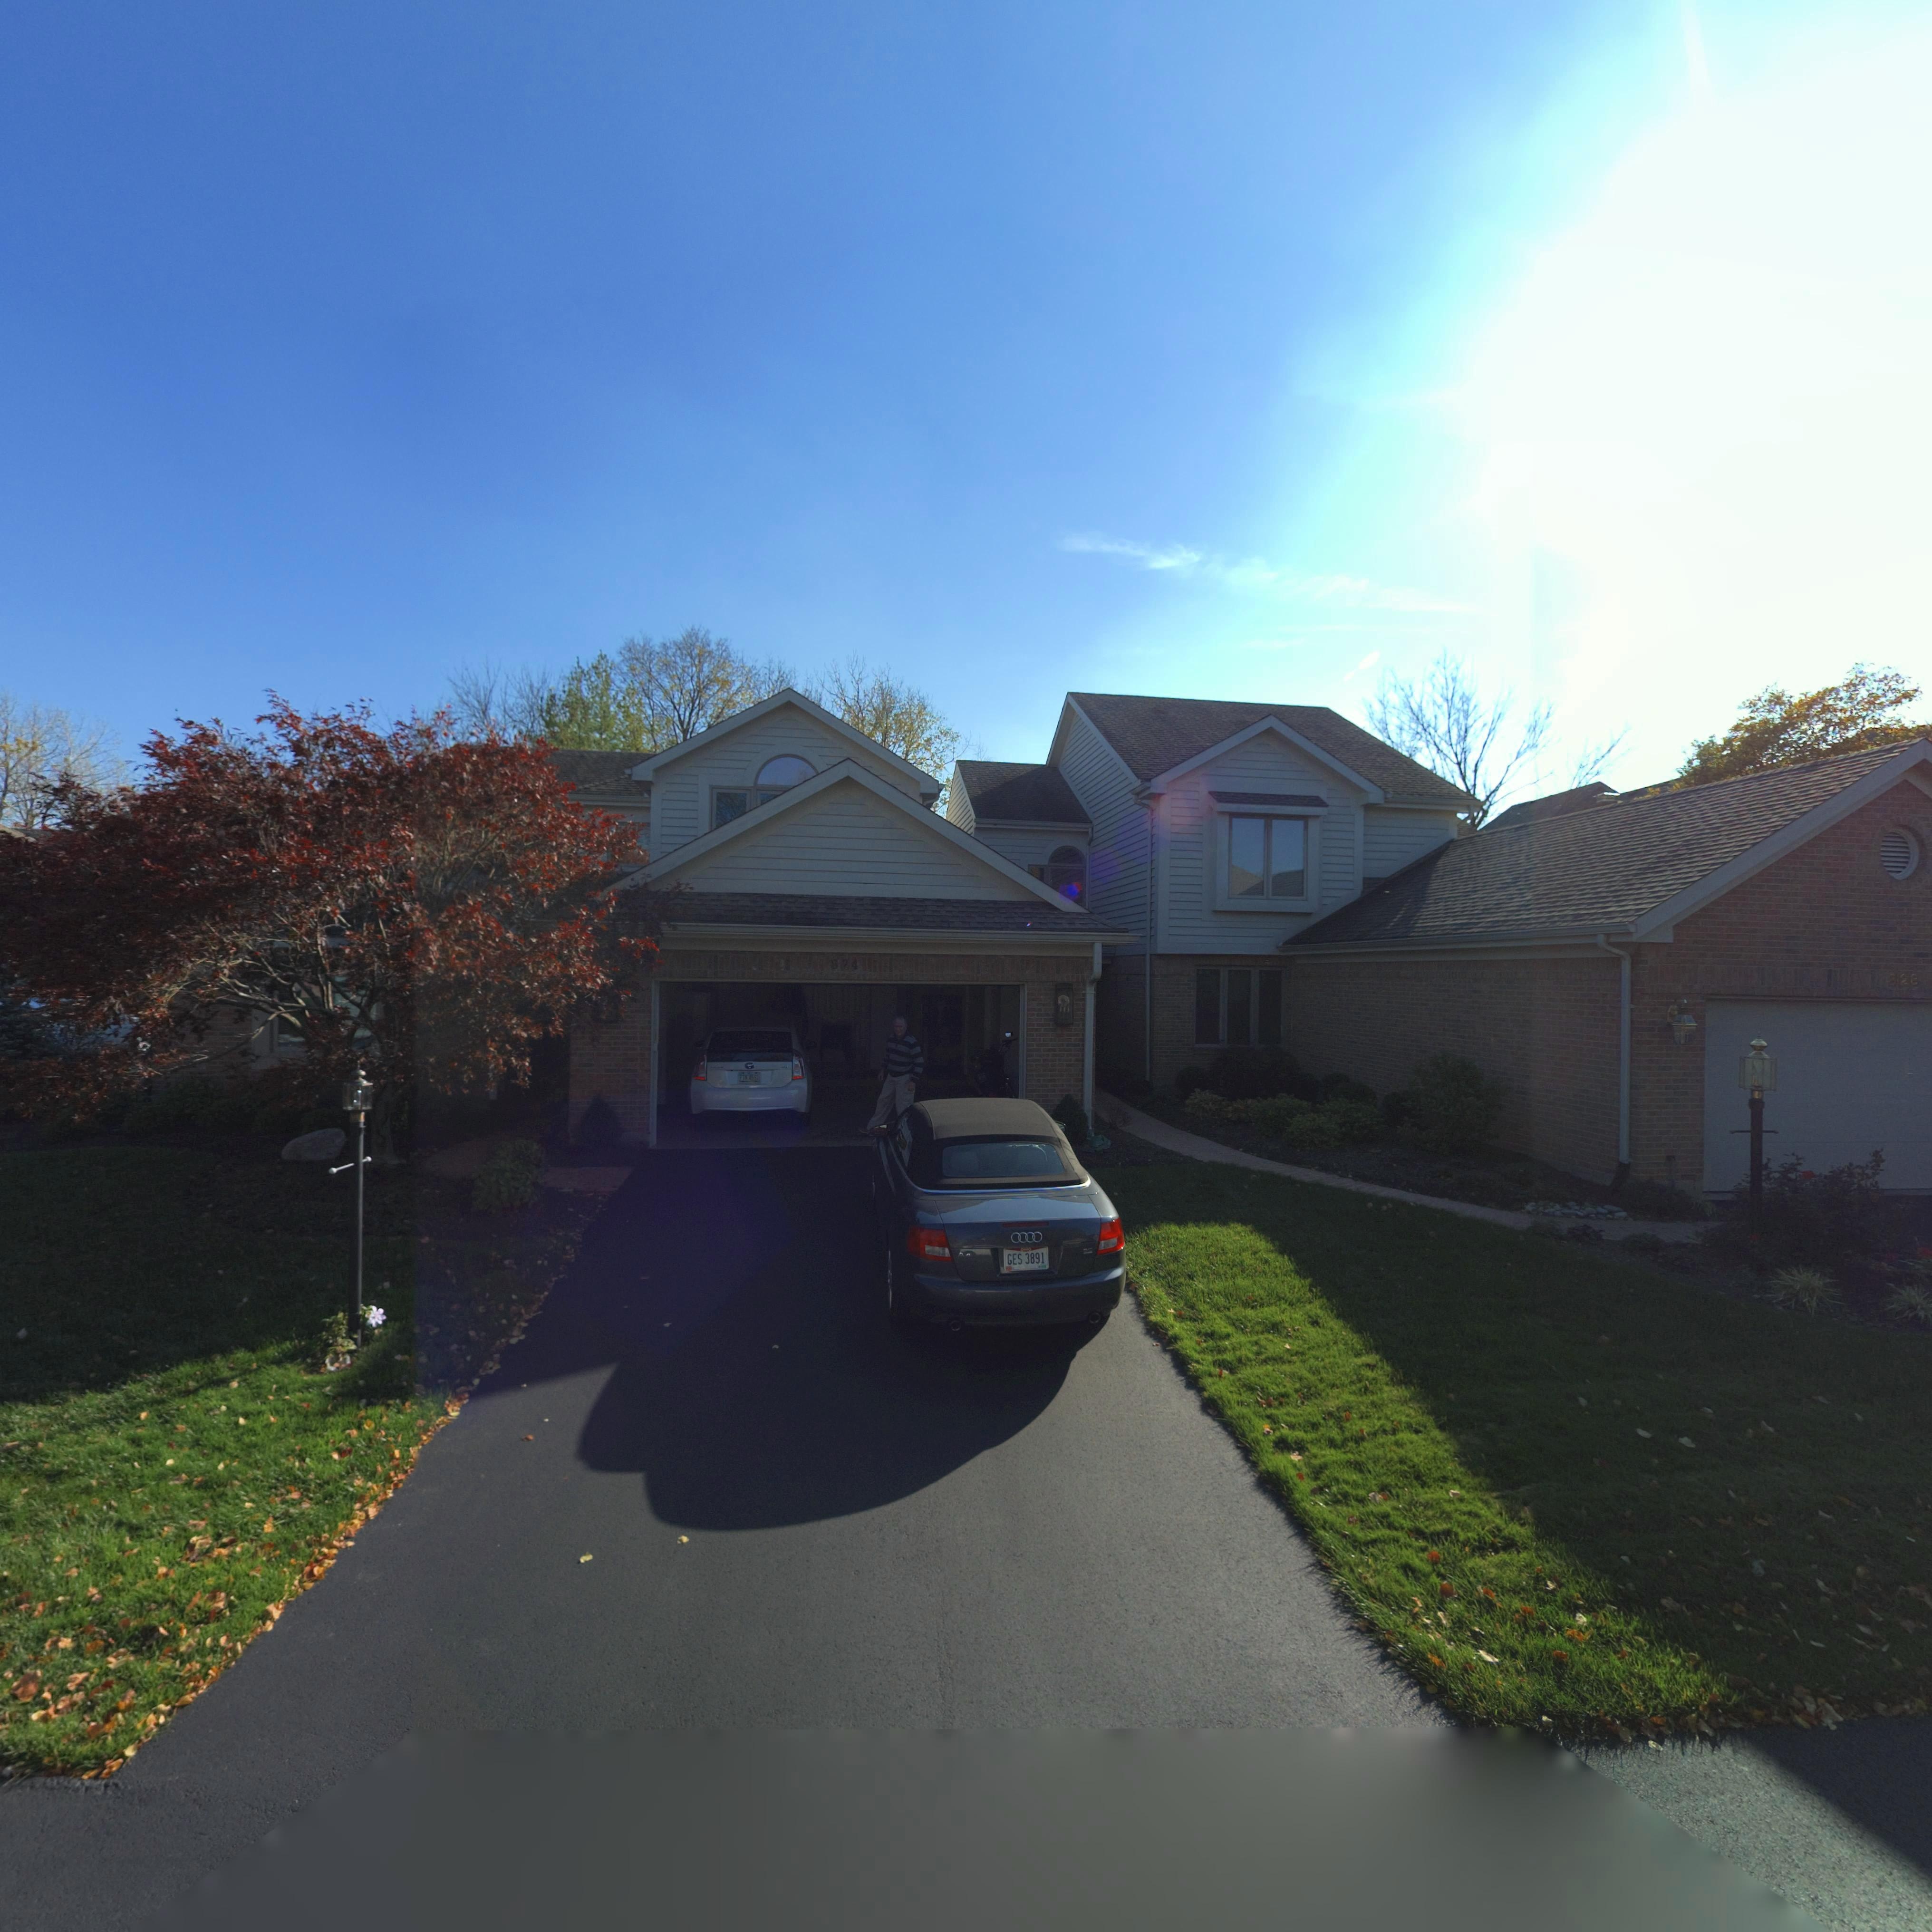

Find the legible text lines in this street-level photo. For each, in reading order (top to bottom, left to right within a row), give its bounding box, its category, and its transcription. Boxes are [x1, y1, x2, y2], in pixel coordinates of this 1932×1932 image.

[830, 958, 859, 971] StreetNumber: 824
[1888, 973, 1919, 986] StreetNumber: 826